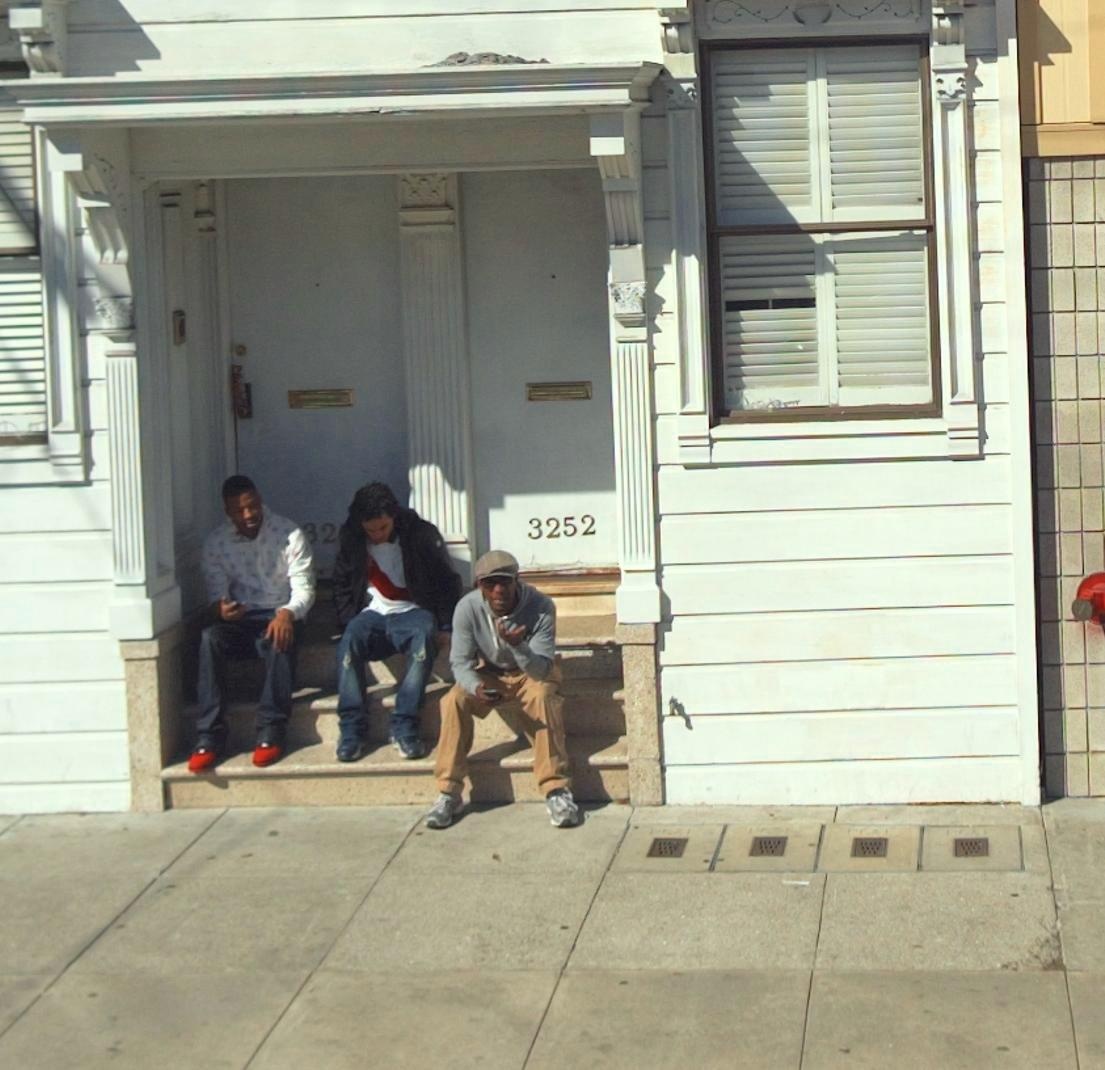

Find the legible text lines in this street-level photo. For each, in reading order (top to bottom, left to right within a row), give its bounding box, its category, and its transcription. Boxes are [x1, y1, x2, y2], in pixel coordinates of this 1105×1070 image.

[301, 520, 339, 545] StreetNumber: *2
[526, 512, 598, 541] StreetNumber: 3252